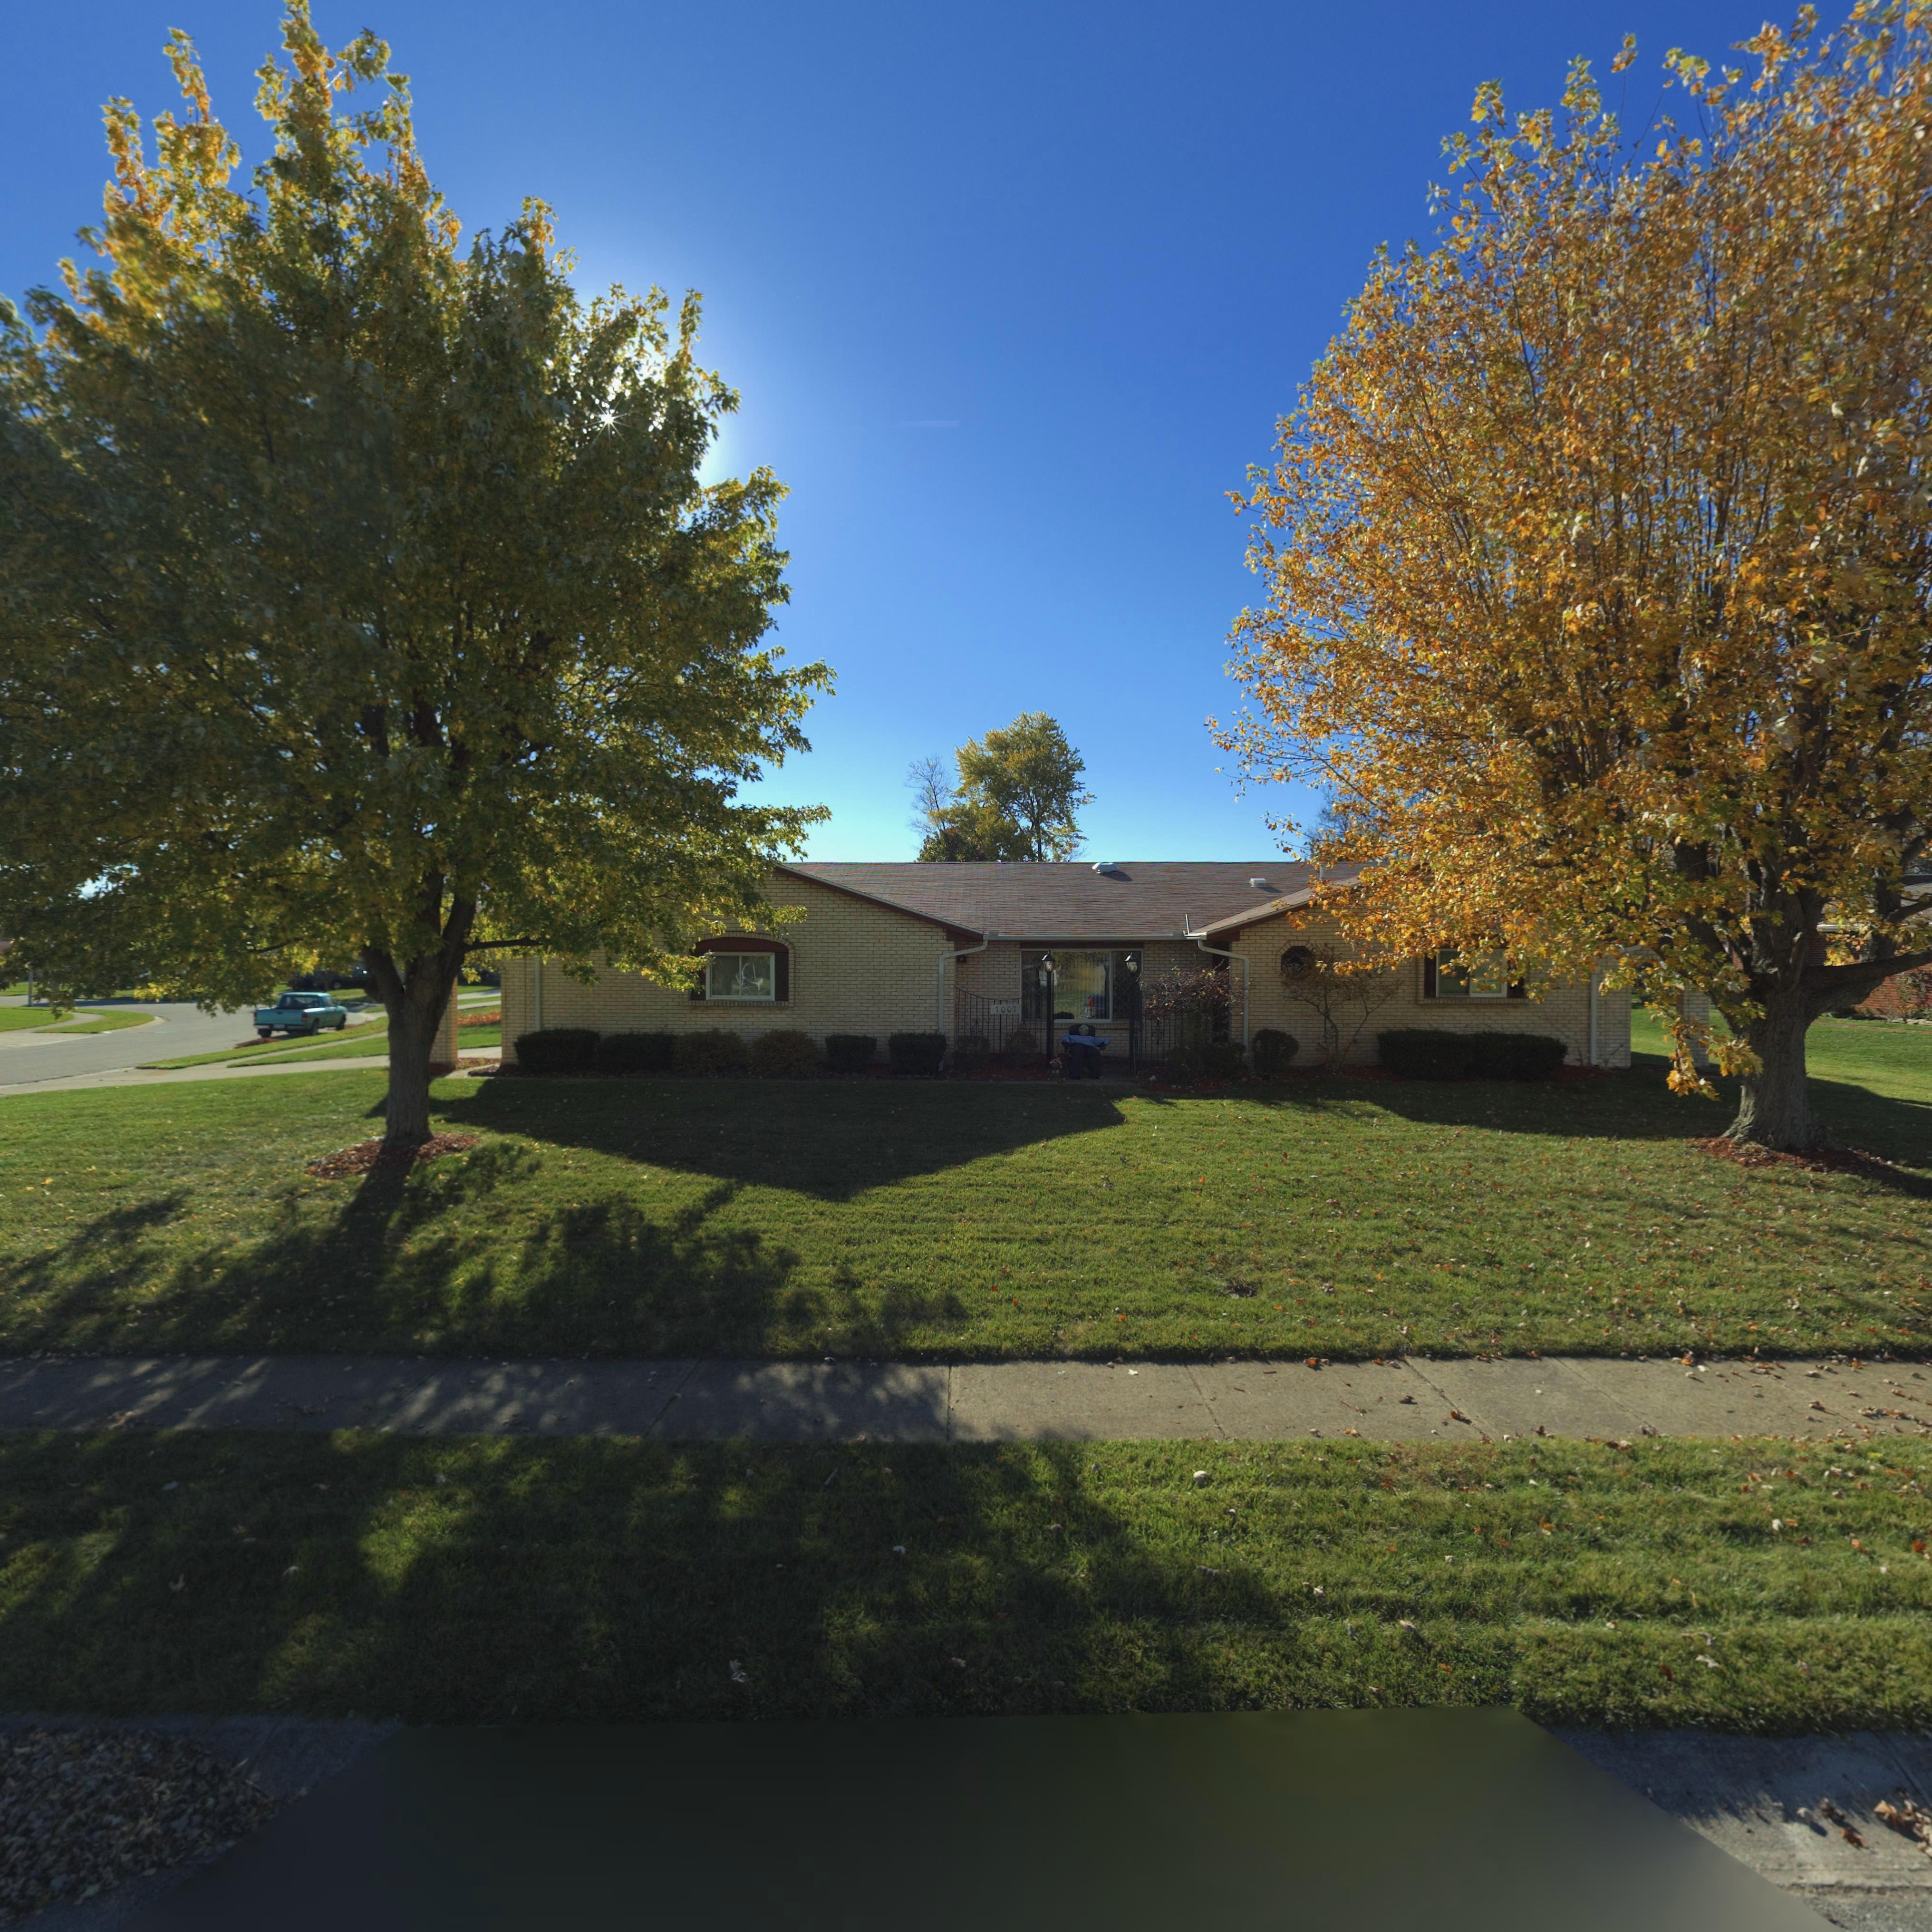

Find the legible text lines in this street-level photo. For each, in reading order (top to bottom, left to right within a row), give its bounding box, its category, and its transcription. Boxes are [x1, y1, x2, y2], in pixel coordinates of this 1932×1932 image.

[994, 1005, 1016, 1014] StreetNumber: 7007